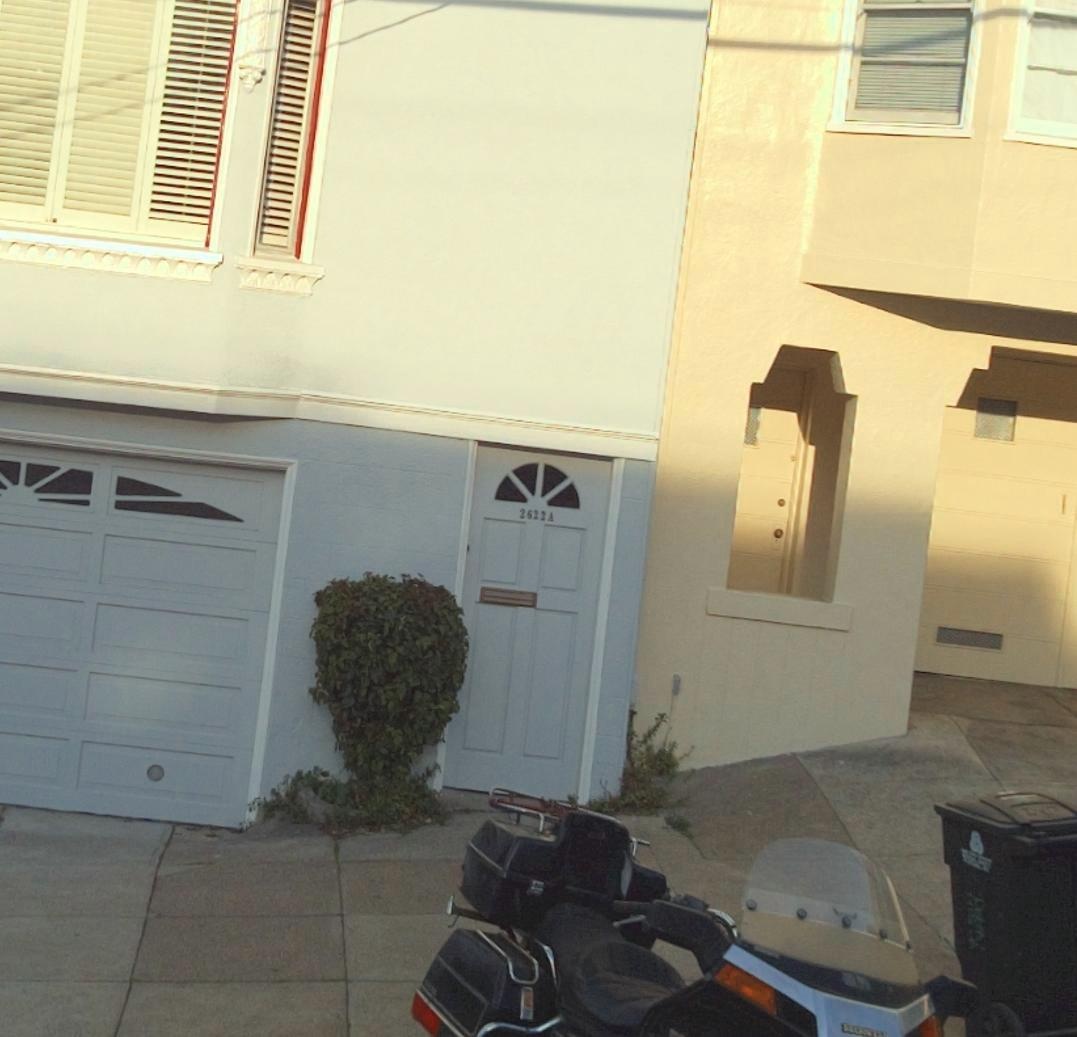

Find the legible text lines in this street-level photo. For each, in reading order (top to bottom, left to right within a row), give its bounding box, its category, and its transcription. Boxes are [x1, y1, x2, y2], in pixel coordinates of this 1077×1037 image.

[517, 506, 555, 524] StreetNumber: 2622A